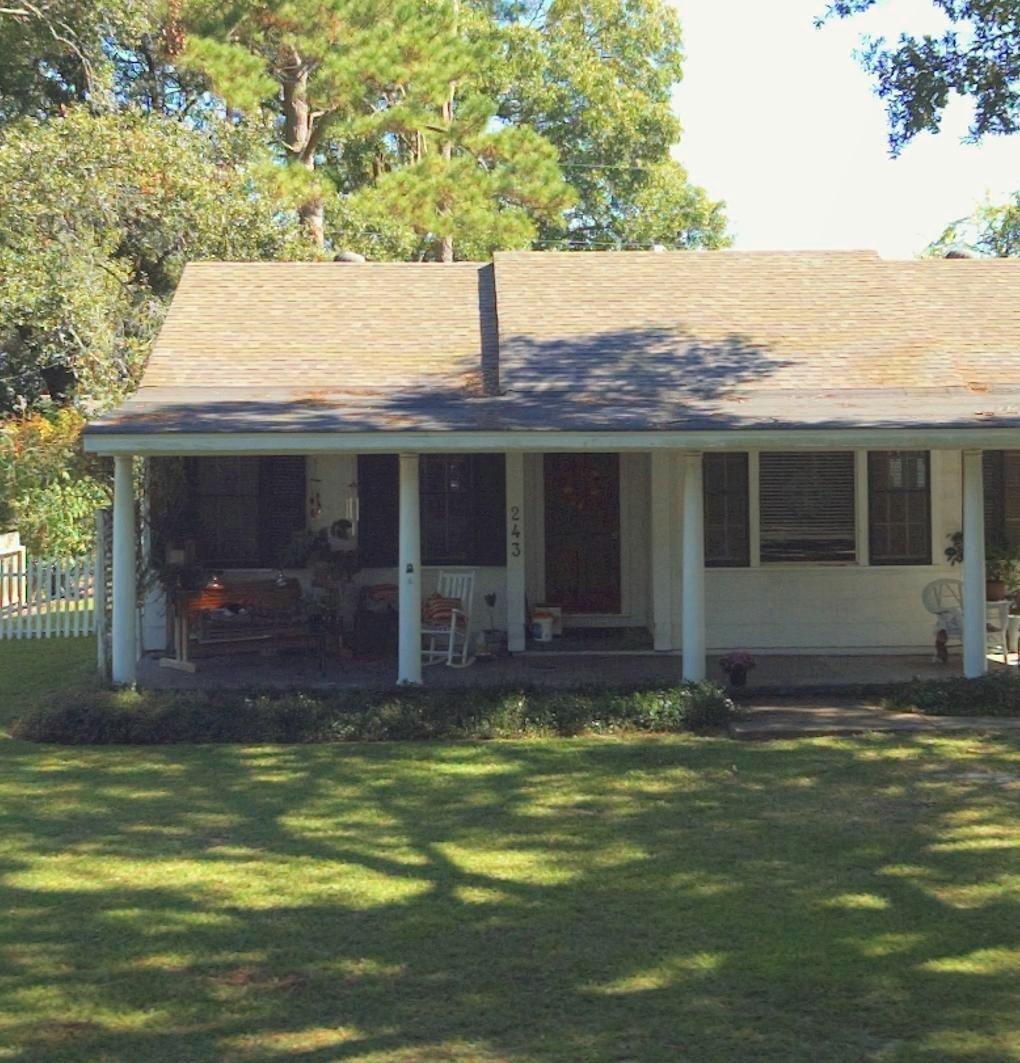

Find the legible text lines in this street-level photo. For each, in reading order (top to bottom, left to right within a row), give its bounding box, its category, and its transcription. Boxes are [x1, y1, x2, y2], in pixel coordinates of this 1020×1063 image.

[509, 504, 523, 558] StreetNumber: 243